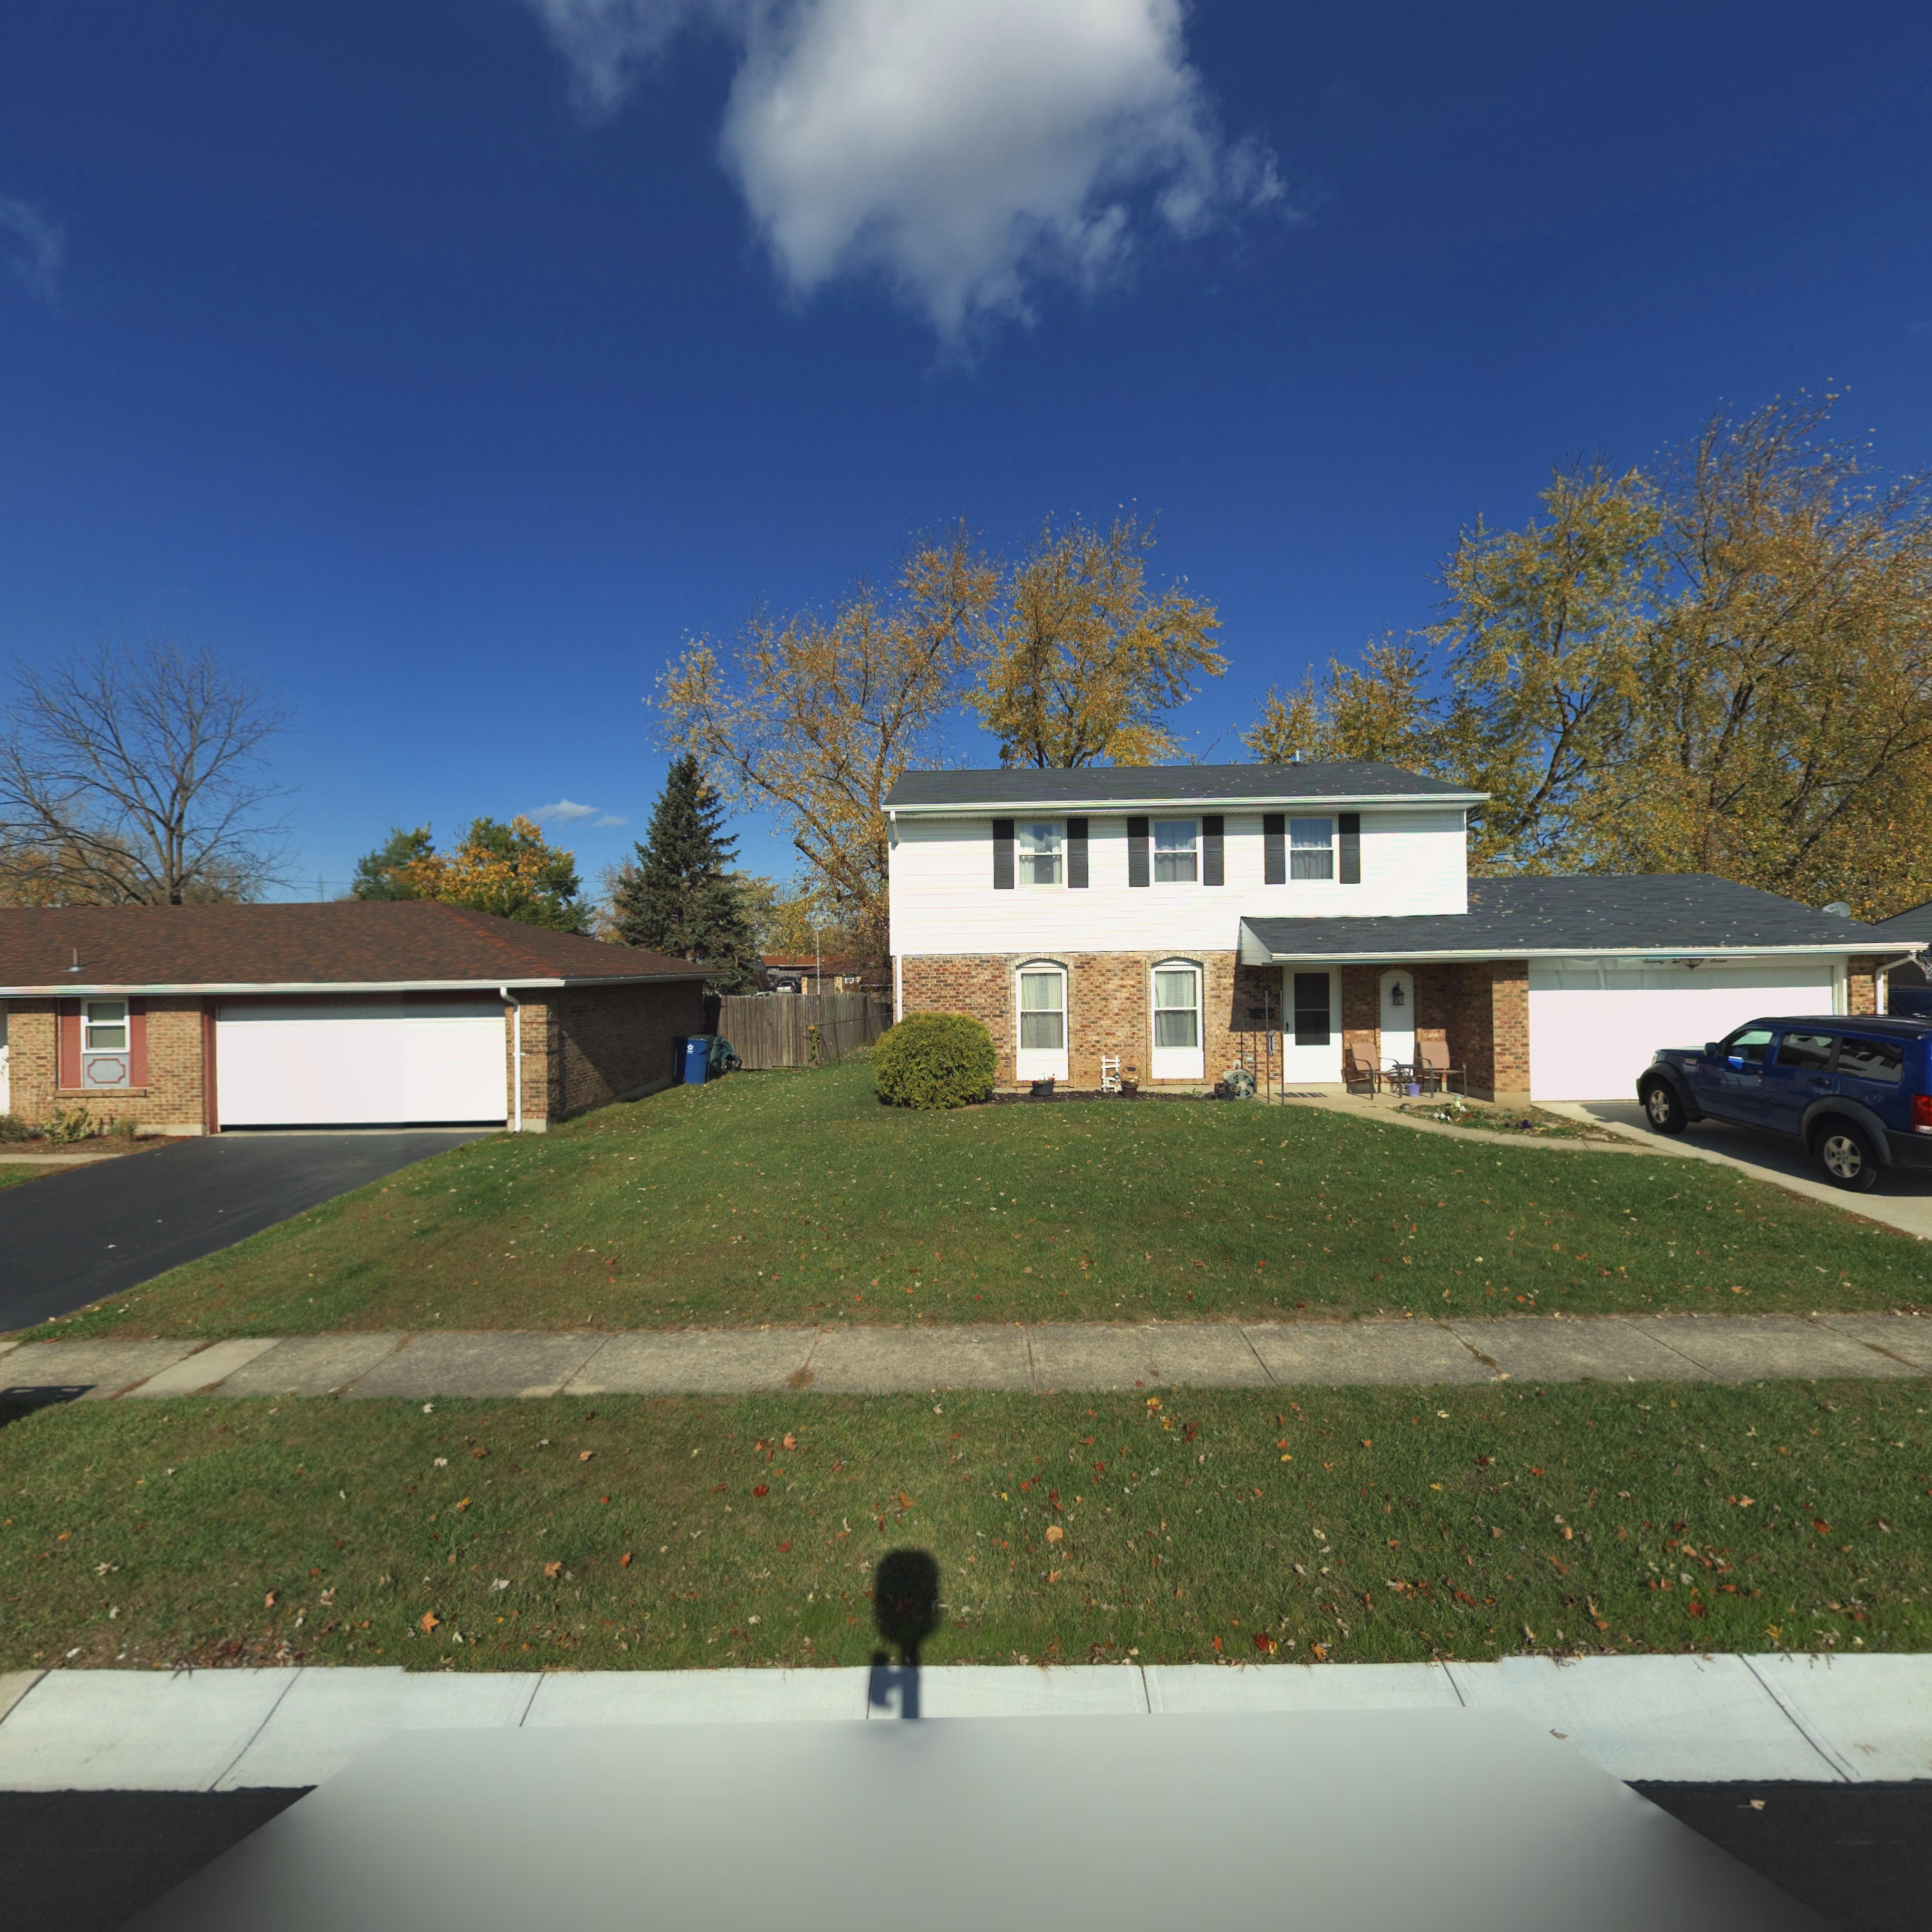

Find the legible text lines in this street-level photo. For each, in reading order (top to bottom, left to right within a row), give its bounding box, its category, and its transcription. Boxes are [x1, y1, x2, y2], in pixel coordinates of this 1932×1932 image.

[1242, 968, 1261, 990] StreetNumber: 72